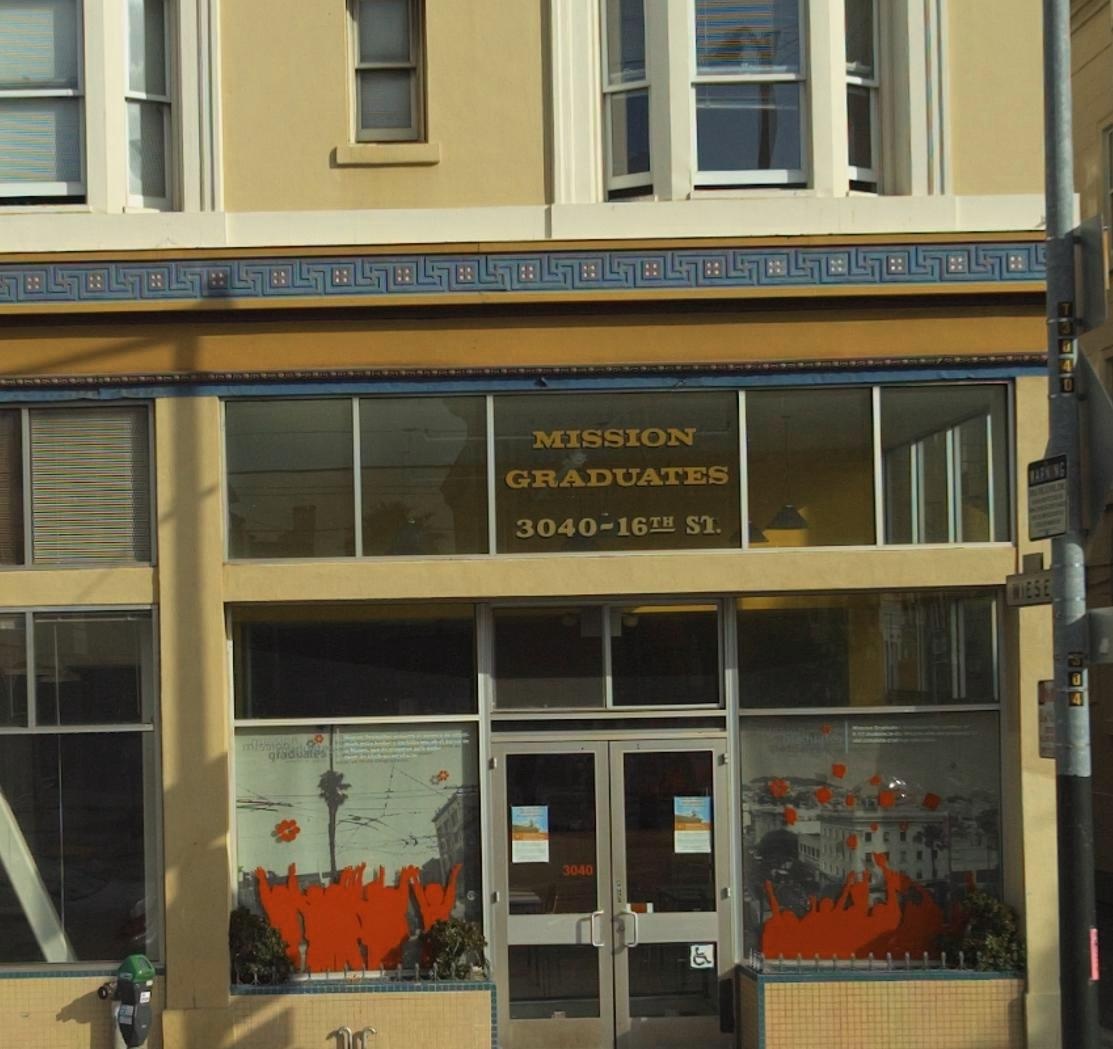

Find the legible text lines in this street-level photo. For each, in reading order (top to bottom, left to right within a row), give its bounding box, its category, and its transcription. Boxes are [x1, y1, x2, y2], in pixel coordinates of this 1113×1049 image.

[1061, 301, 1075, 393] None: 73040
[529, 427, 698, 450] BusinessName: MISSION
[504, 465, 730, 490] BusinessName: GRADUATES
[1028, 459, 1066, 486] None: WARNING
[515, 517, 600, 539] StreetNumber: 3040-16
[616, 514, 716, 537] StreetName: 16TH ST
[1012, 576, 1051, 603] StreetName: WEISE
[1070, 670, 1083, 707] None: 04
[267, 748, 326, 763] None: graduates
[562, 863, 593, 875] StreetNumber: 3040